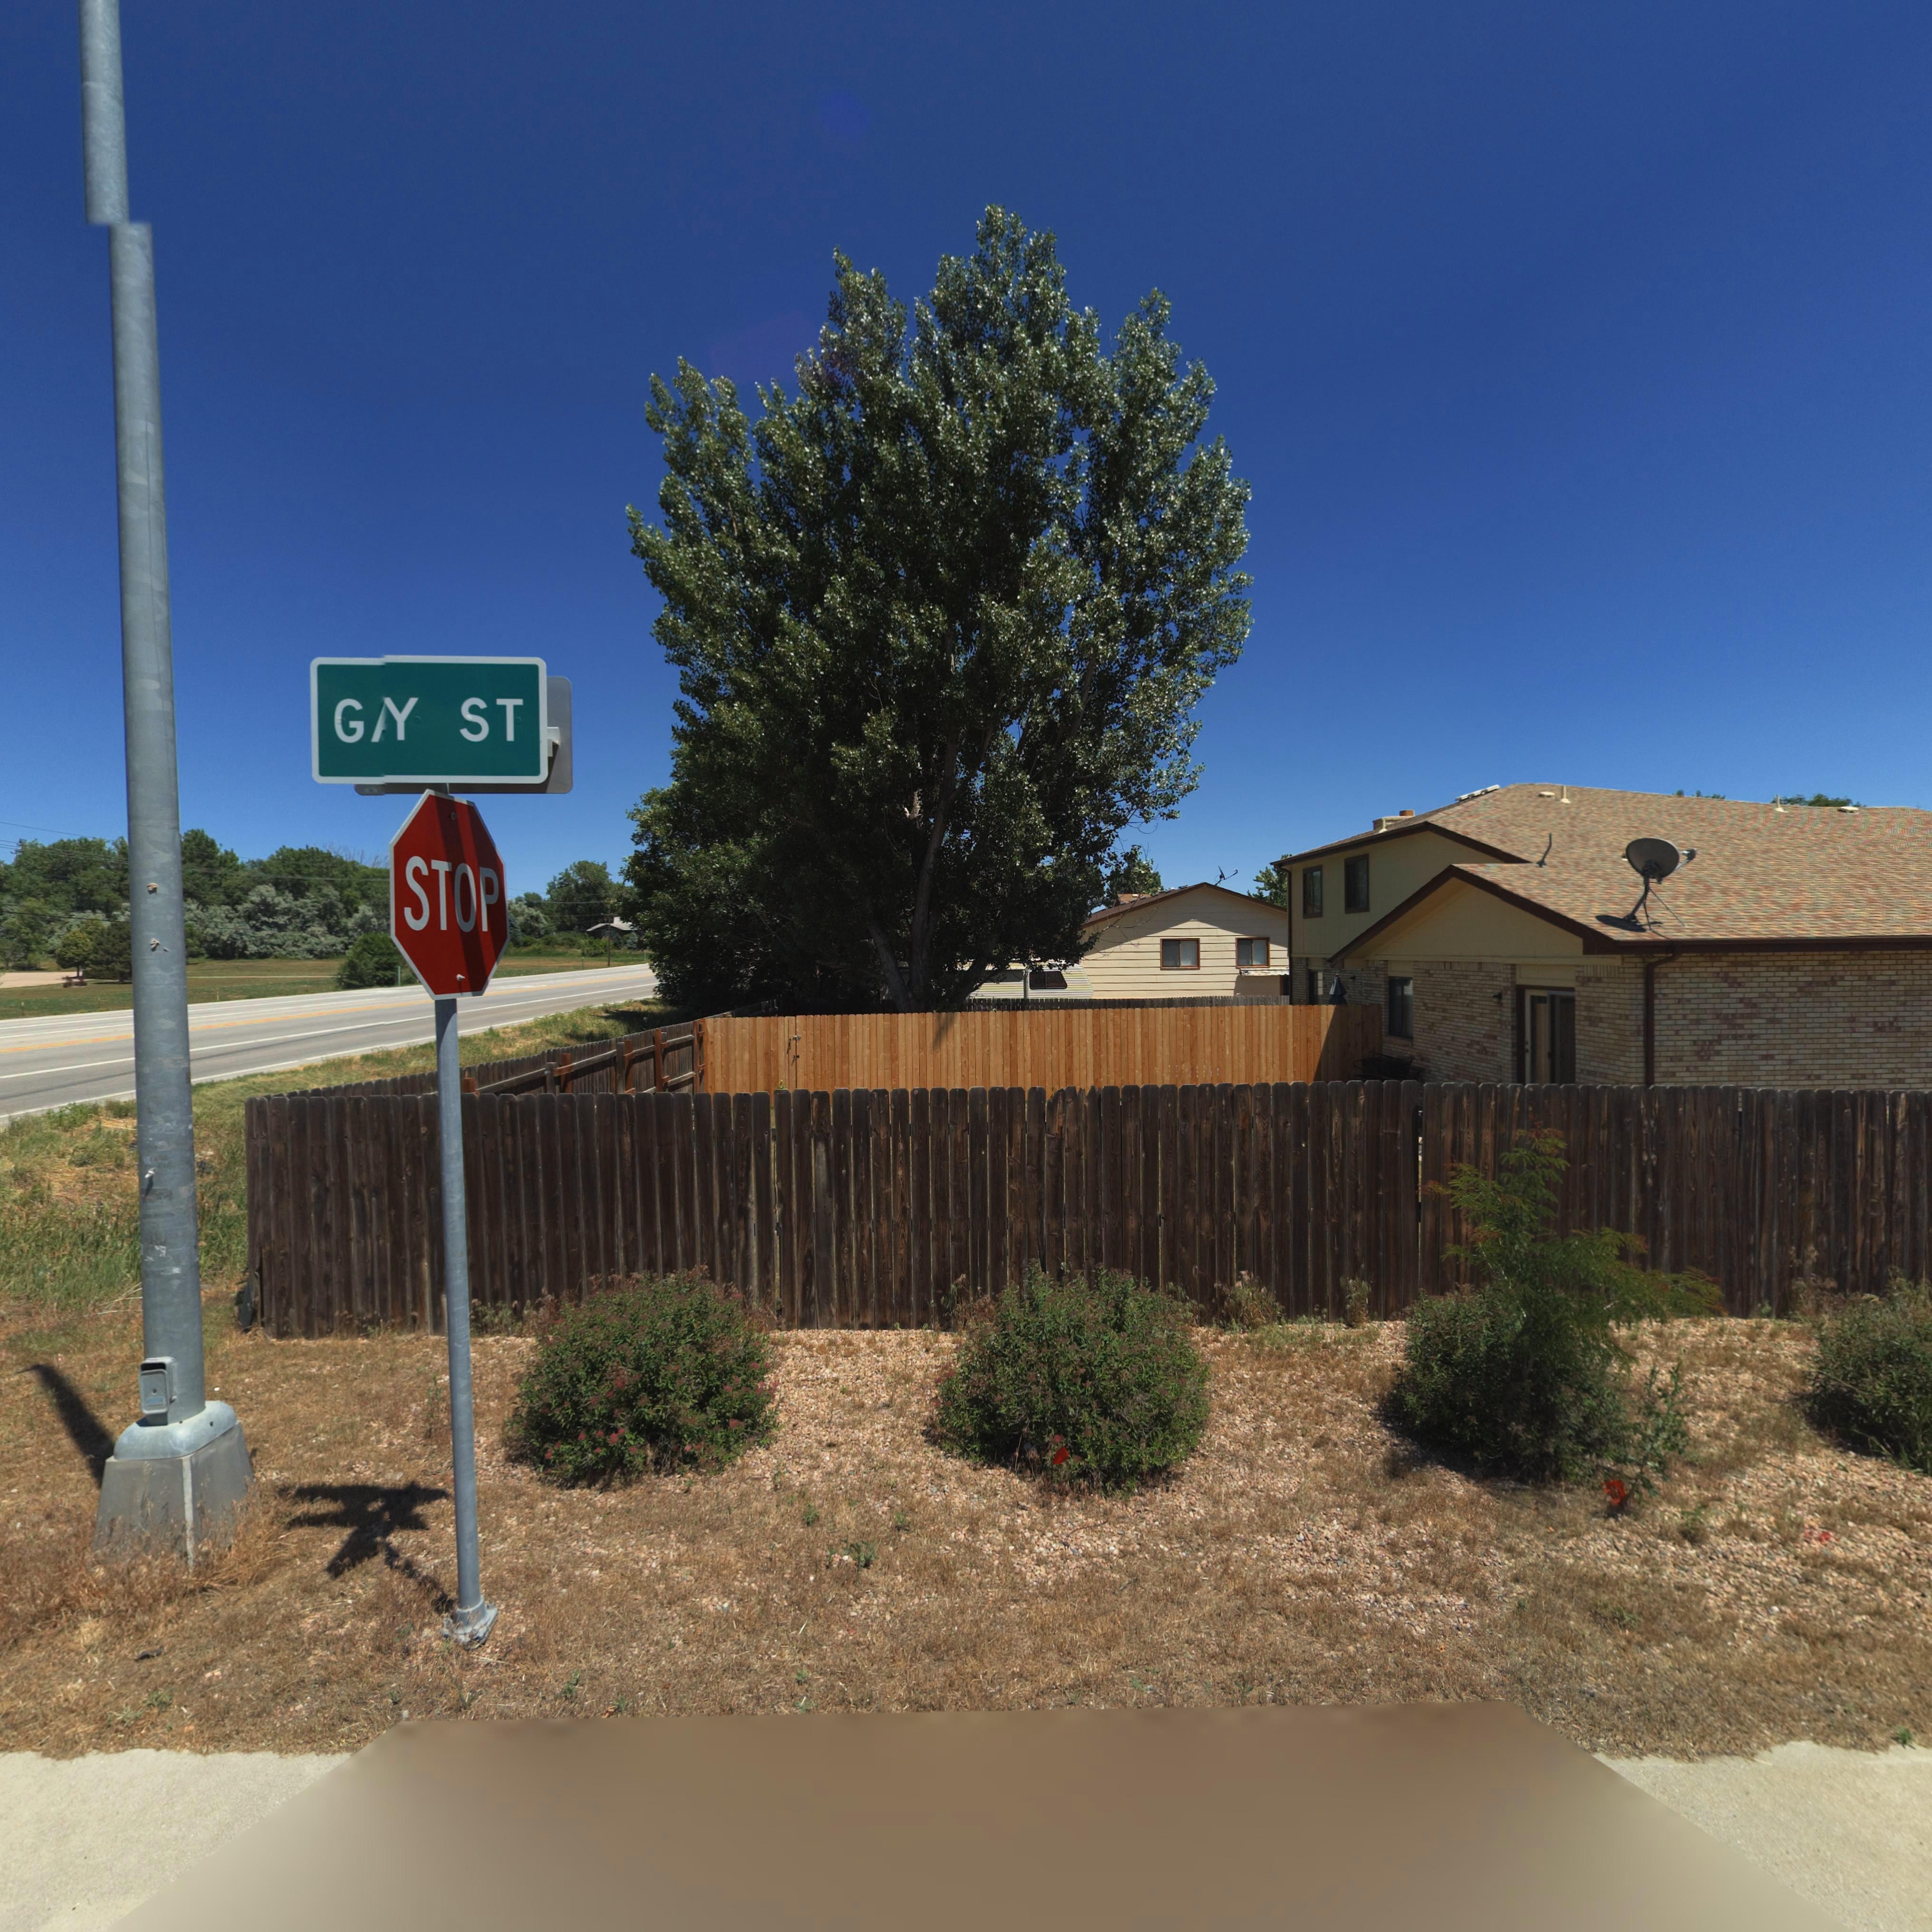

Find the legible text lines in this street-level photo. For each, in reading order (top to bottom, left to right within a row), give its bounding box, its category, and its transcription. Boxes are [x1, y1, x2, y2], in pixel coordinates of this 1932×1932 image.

[332, 694, 523, 745] StreetName: G*Y ST